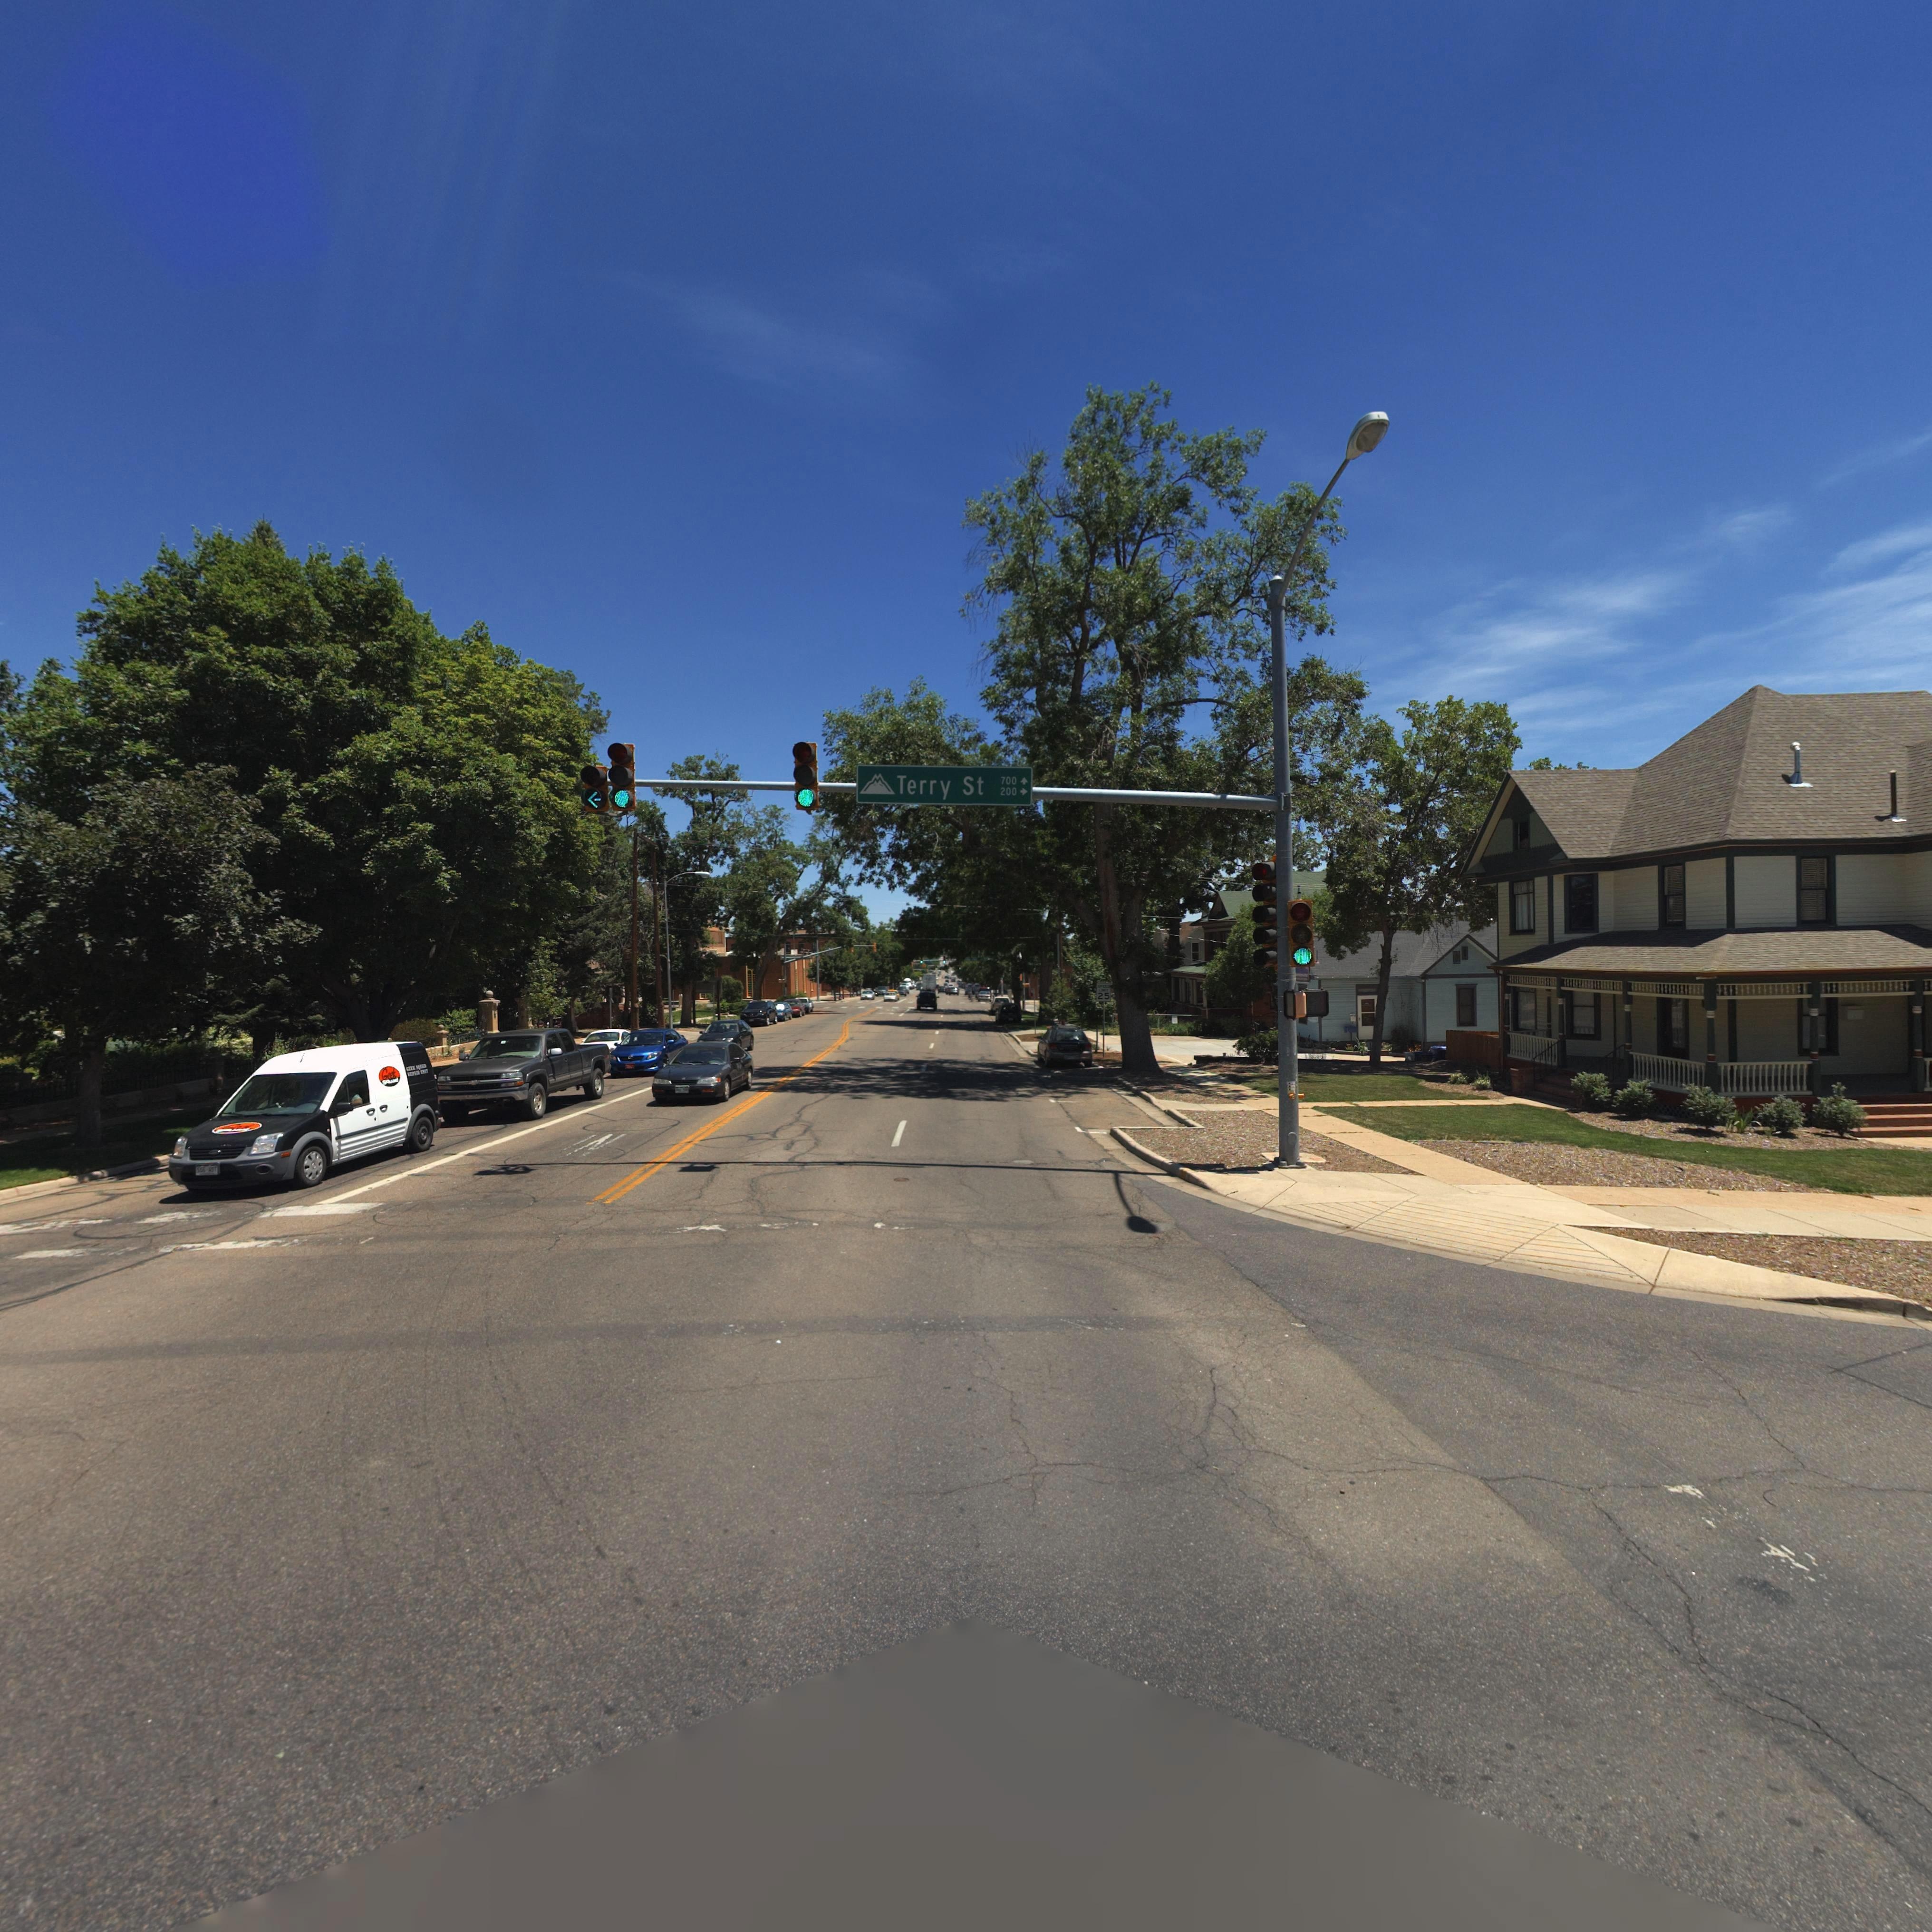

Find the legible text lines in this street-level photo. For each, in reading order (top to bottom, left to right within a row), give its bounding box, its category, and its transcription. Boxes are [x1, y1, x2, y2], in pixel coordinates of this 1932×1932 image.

[1000, 776, 1017, 785] StreetNumberRange: 700
[896, 774, 983, 801] StreetName: Terry St
[1000, 787, 1027, 796] StreetNumberRange: 200 ->